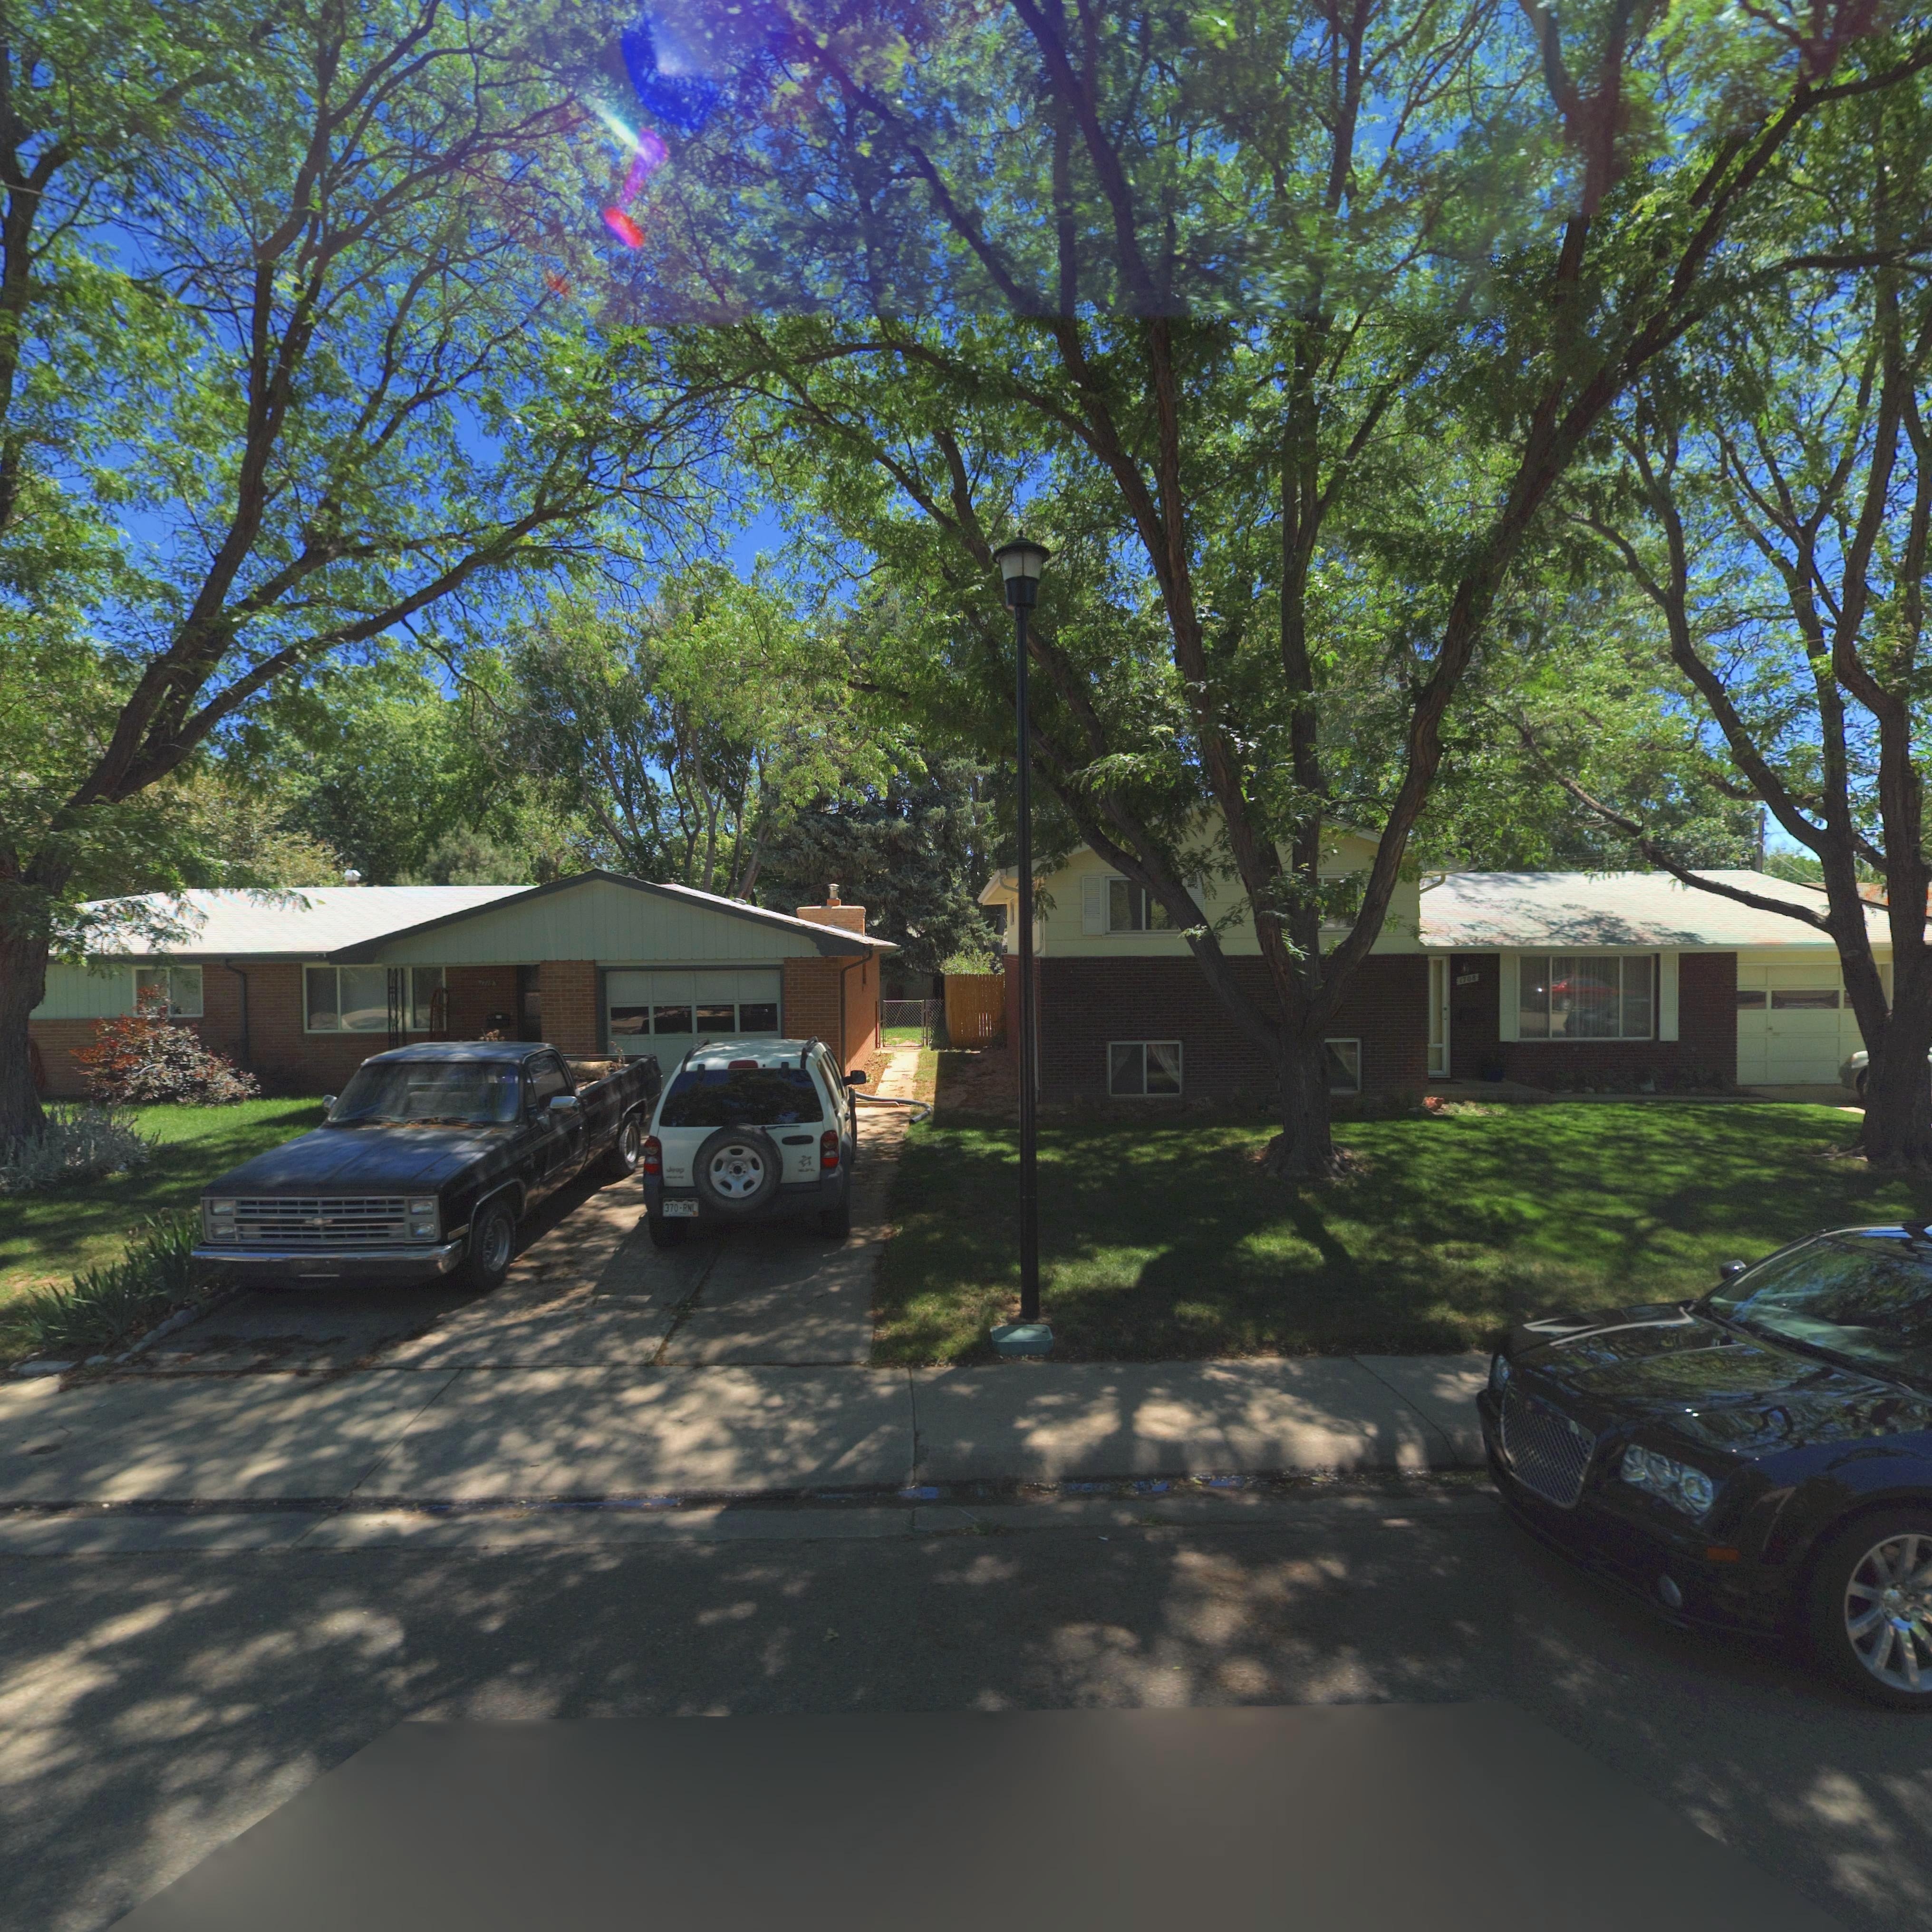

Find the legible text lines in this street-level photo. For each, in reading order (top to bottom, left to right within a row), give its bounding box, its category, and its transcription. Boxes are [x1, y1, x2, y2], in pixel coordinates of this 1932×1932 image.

[1459, 974, 1476, 984] StreetNumber: 1708